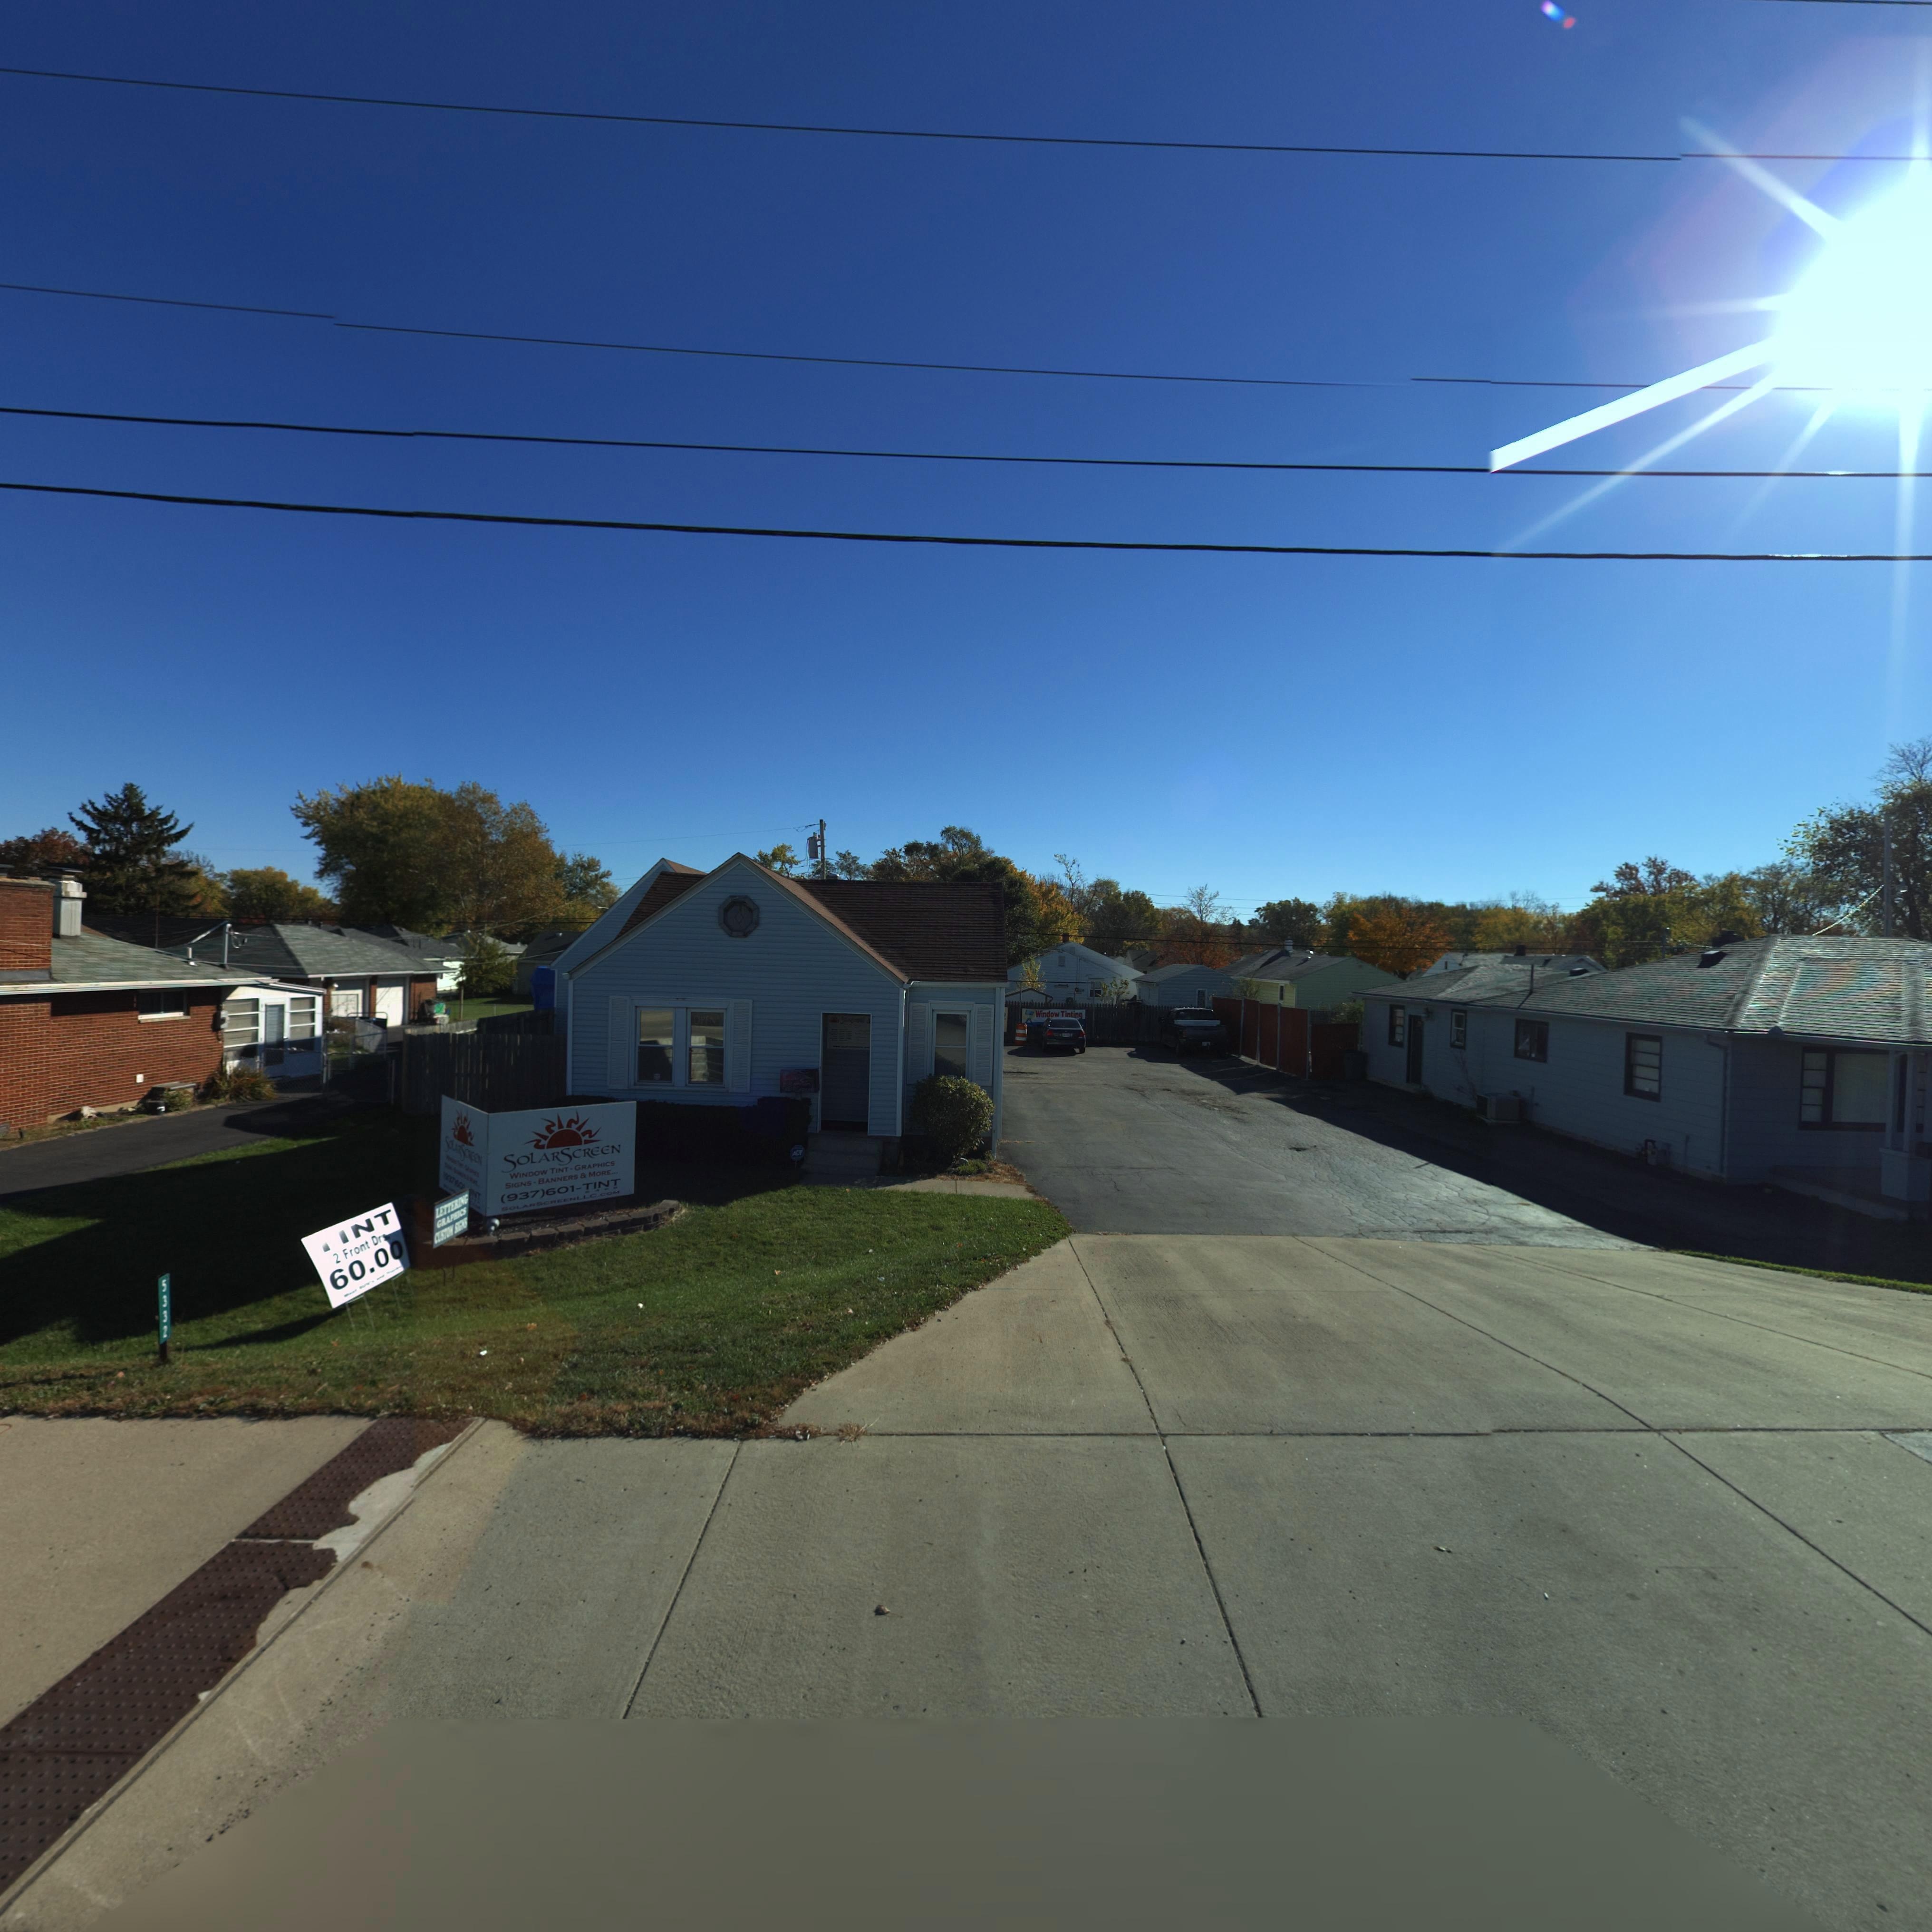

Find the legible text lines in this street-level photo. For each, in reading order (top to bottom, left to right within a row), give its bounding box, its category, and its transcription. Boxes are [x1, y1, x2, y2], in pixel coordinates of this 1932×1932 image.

[161, 1277, 169, 1340] StreetNumber: 5332